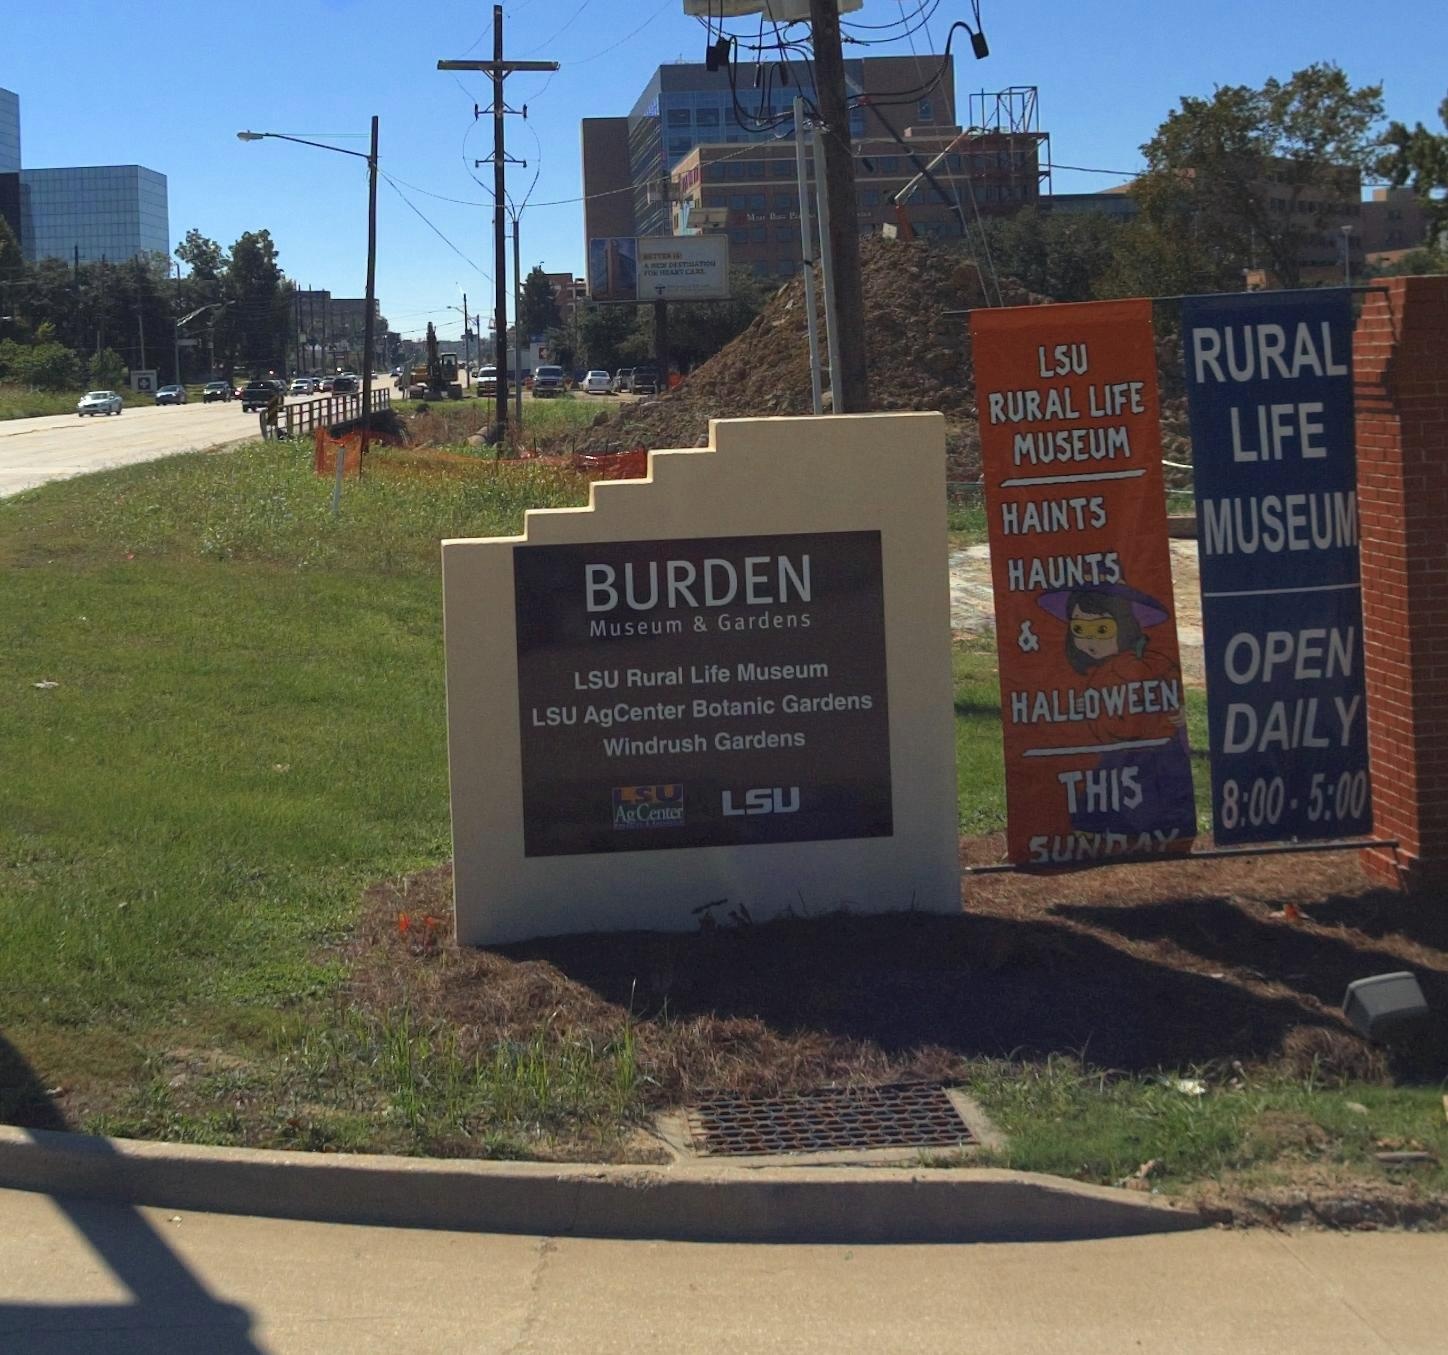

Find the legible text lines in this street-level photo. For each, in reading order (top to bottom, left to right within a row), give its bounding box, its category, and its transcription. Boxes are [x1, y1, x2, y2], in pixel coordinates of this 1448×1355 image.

[642, 267, 708, 278] None: FOR HEART CARE
[641, 259, 717, 271] None: A NEW DESTINATION
[1036, 339, 1092, 381] None: LSU
[1190, 320, 1350, 385] None: RURAL
[984, 380, 1147, 428] None: RURAL LIFE
[1010, 423, 1134, 468] None: MUSEUM
[1227, 400, 1329, 465] None: LIFE
[999, 493, 1109, 538] None: HAINTS
[1201, 489, 1359, 558] None: MUSEUM
[583, 552, 815, 614] BusinessName: BURDEN
[1006, 549, 1123, 595] None: HAUNTS
[586, 608, 812, 640] BusinessName: Museum & Gardens
[572, 661, 830, 692] BusinessName: LSU Rural Life Museum
[1220, 624, 1357, 688] None: OPEN
[529, 688, 874, 729] BusinessName: LSU AgCenter Botanic Gardens
[599, 726, 807, 758] BusinessName: Windrush Gardens
[1009, 677, 1183, 727] None: HALLOWEEN
[1219, 692, 1363, 757] None: DAILY
[612, 783, 684, 809] None: LSU
[613, 801, 687, 824] None: AgCenter
[719, 785, 801, 818] None: LSU
[1054, 761, 1148, 817] None: THIS
[1219, 768, 1371, 832] None: 8:00-5:00
[1021, 825, 1188, 867] None: SUN*AY